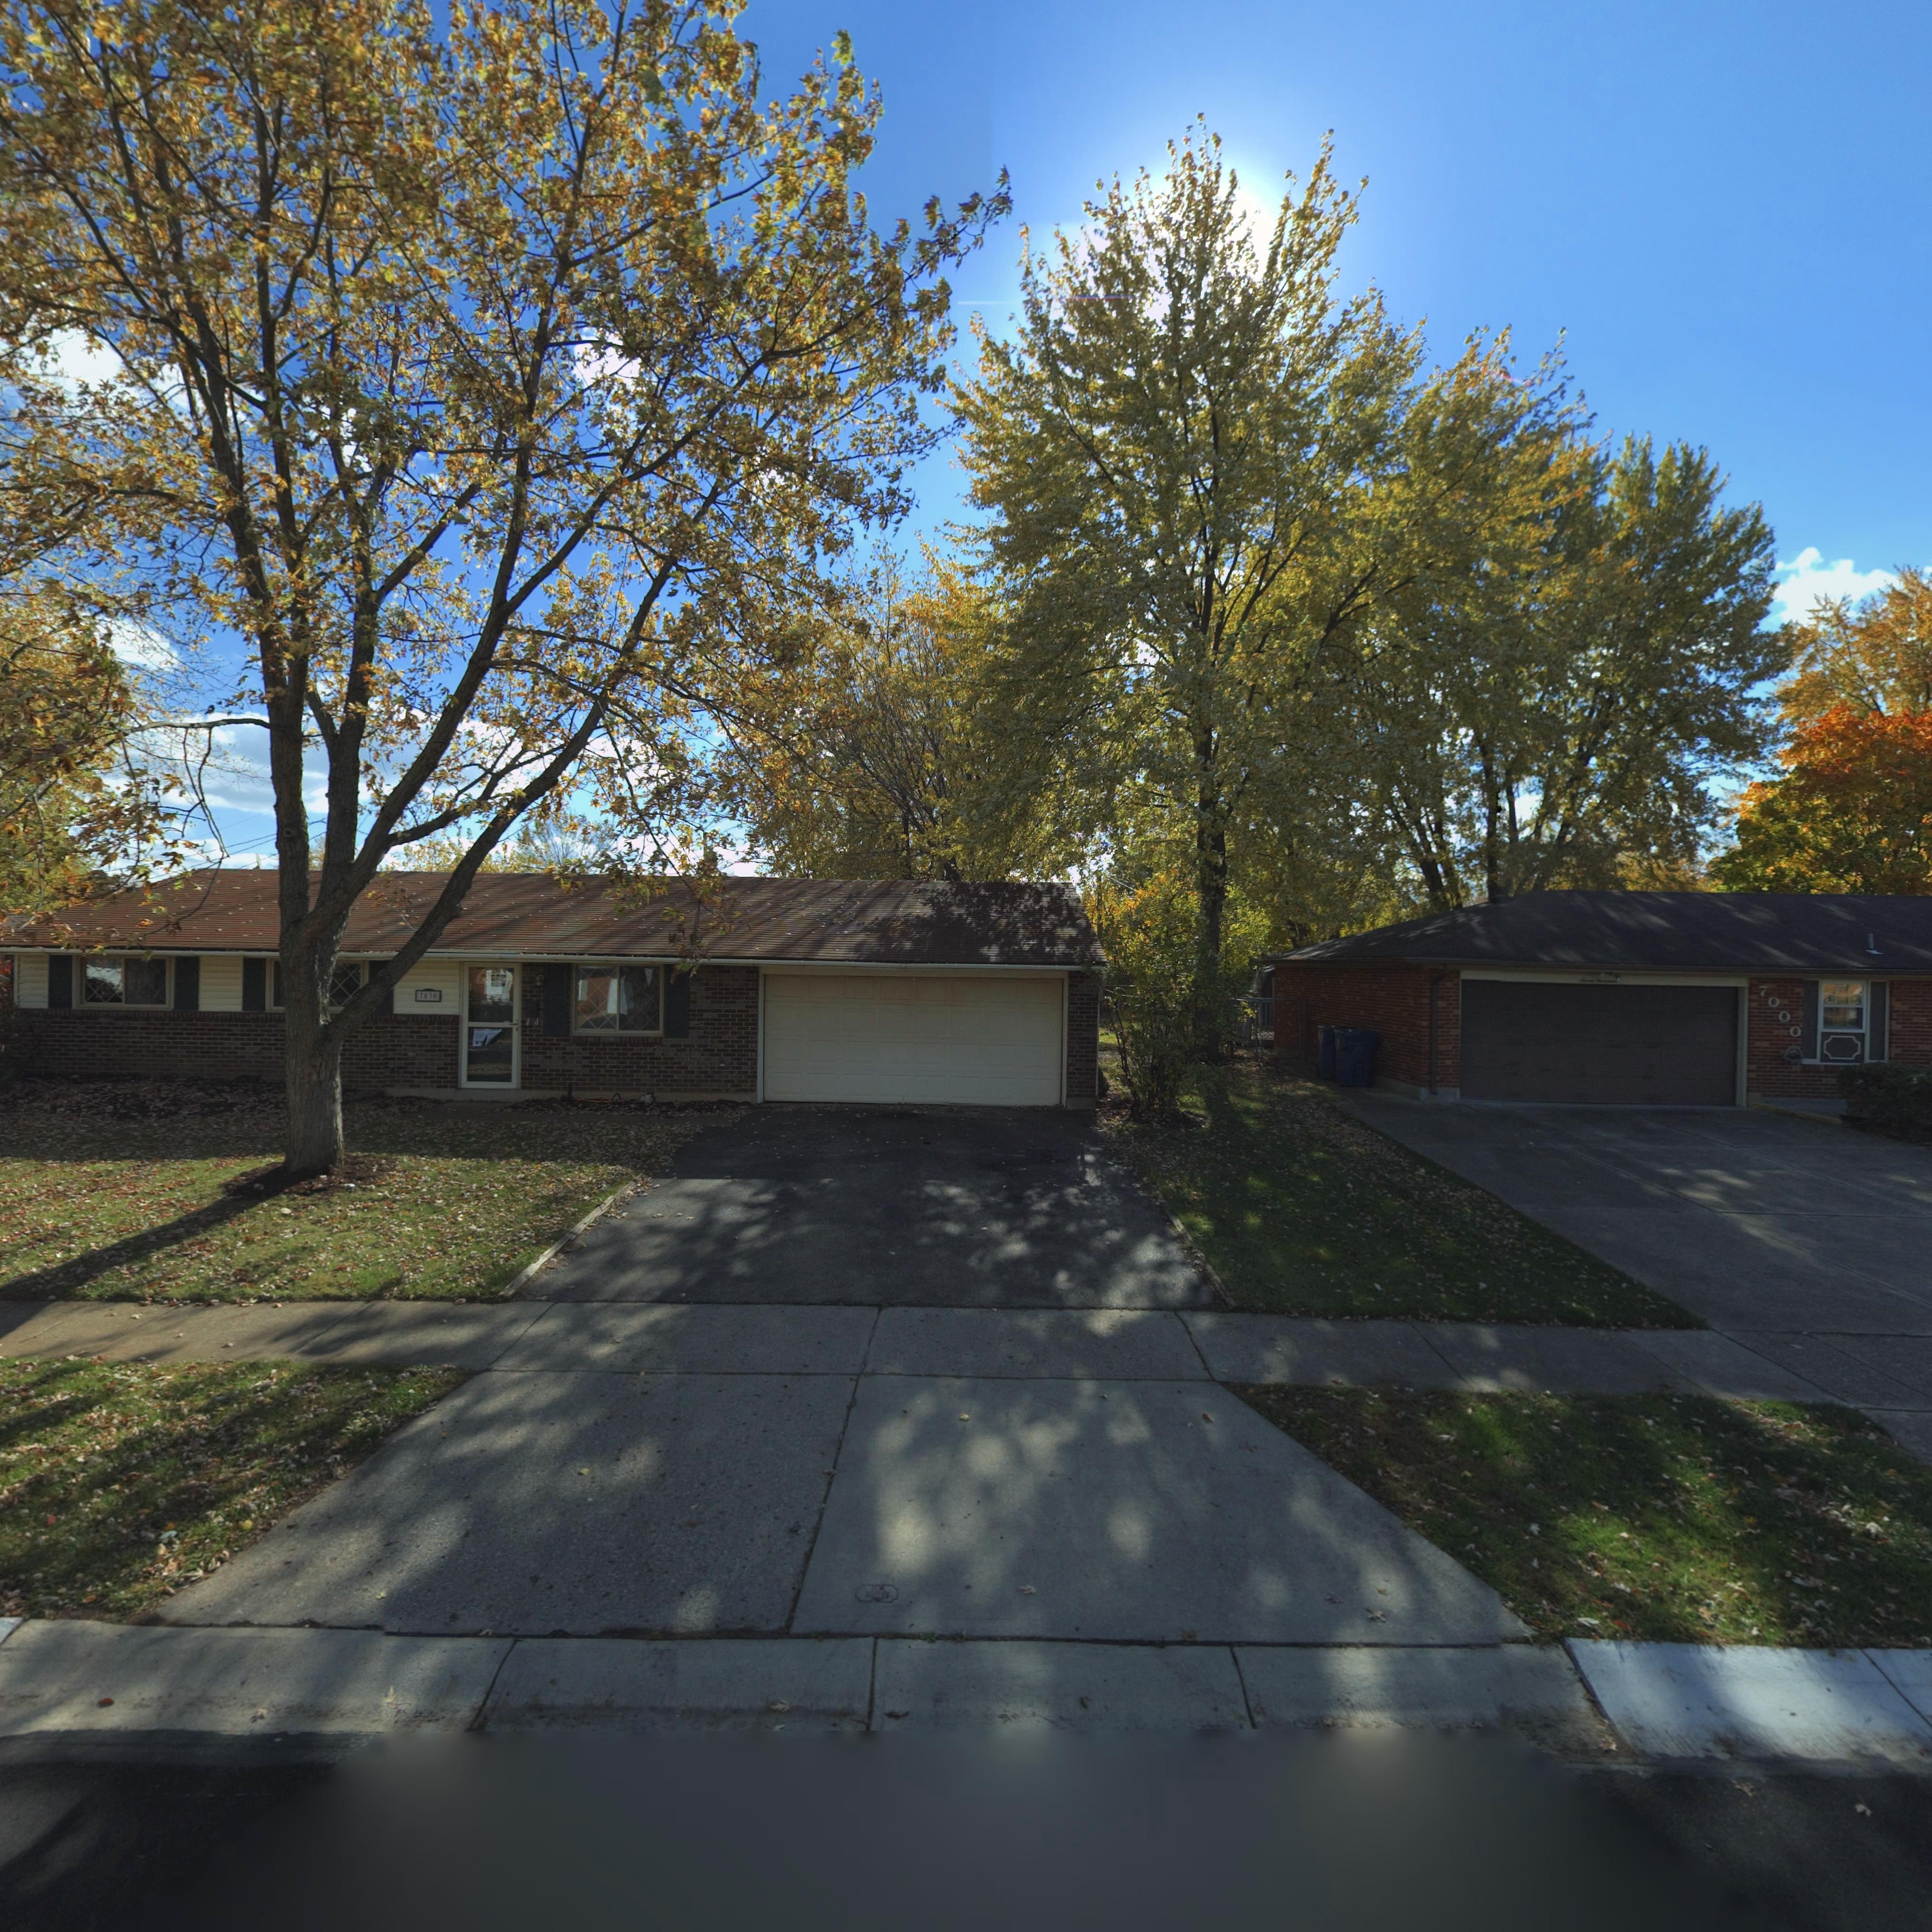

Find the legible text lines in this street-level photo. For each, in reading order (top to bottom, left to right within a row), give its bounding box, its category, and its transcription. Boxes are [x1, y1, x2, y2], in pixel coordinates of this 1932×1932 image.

[419, 992, 438, 1000] StreetNumber: 7030
[1758, 985, 1803, 1039] StreetNumber: 7000